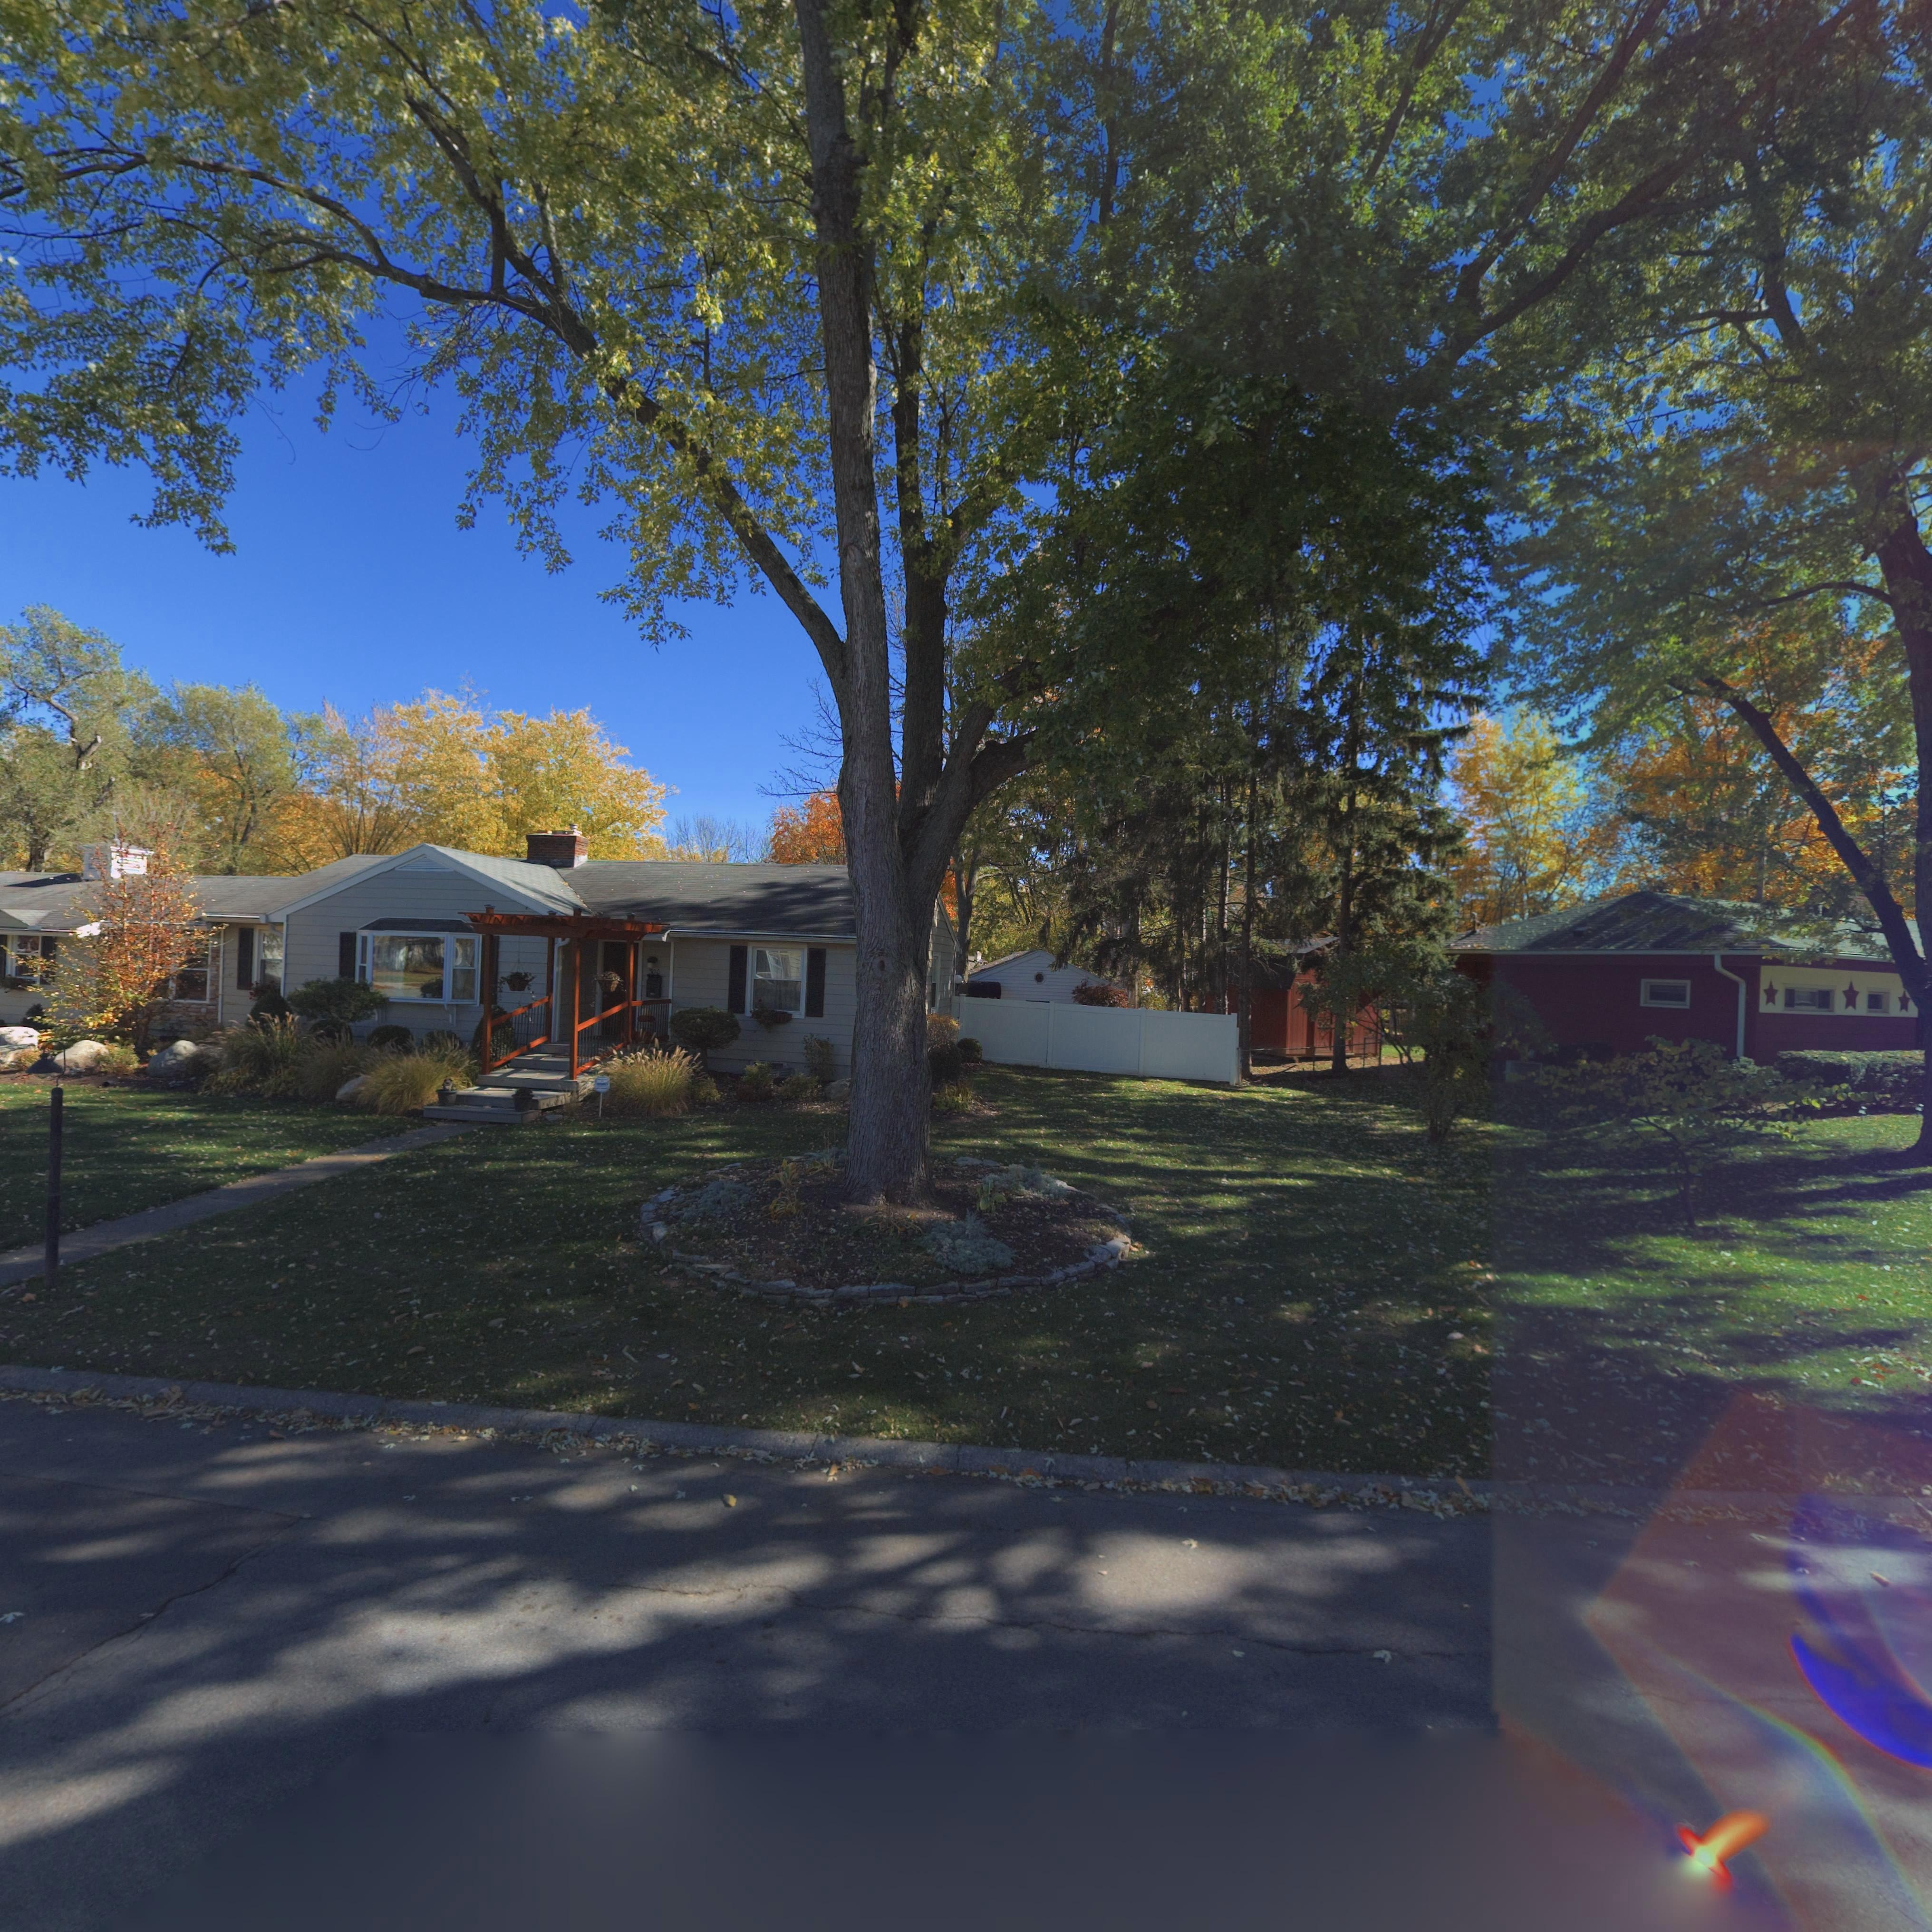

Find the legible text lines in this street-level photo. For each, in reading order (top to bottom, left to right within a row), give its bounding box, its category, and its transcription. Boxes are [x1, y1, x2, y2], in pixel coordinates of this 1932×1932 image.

[648, 968, 660, 975] StreetNumber: 500